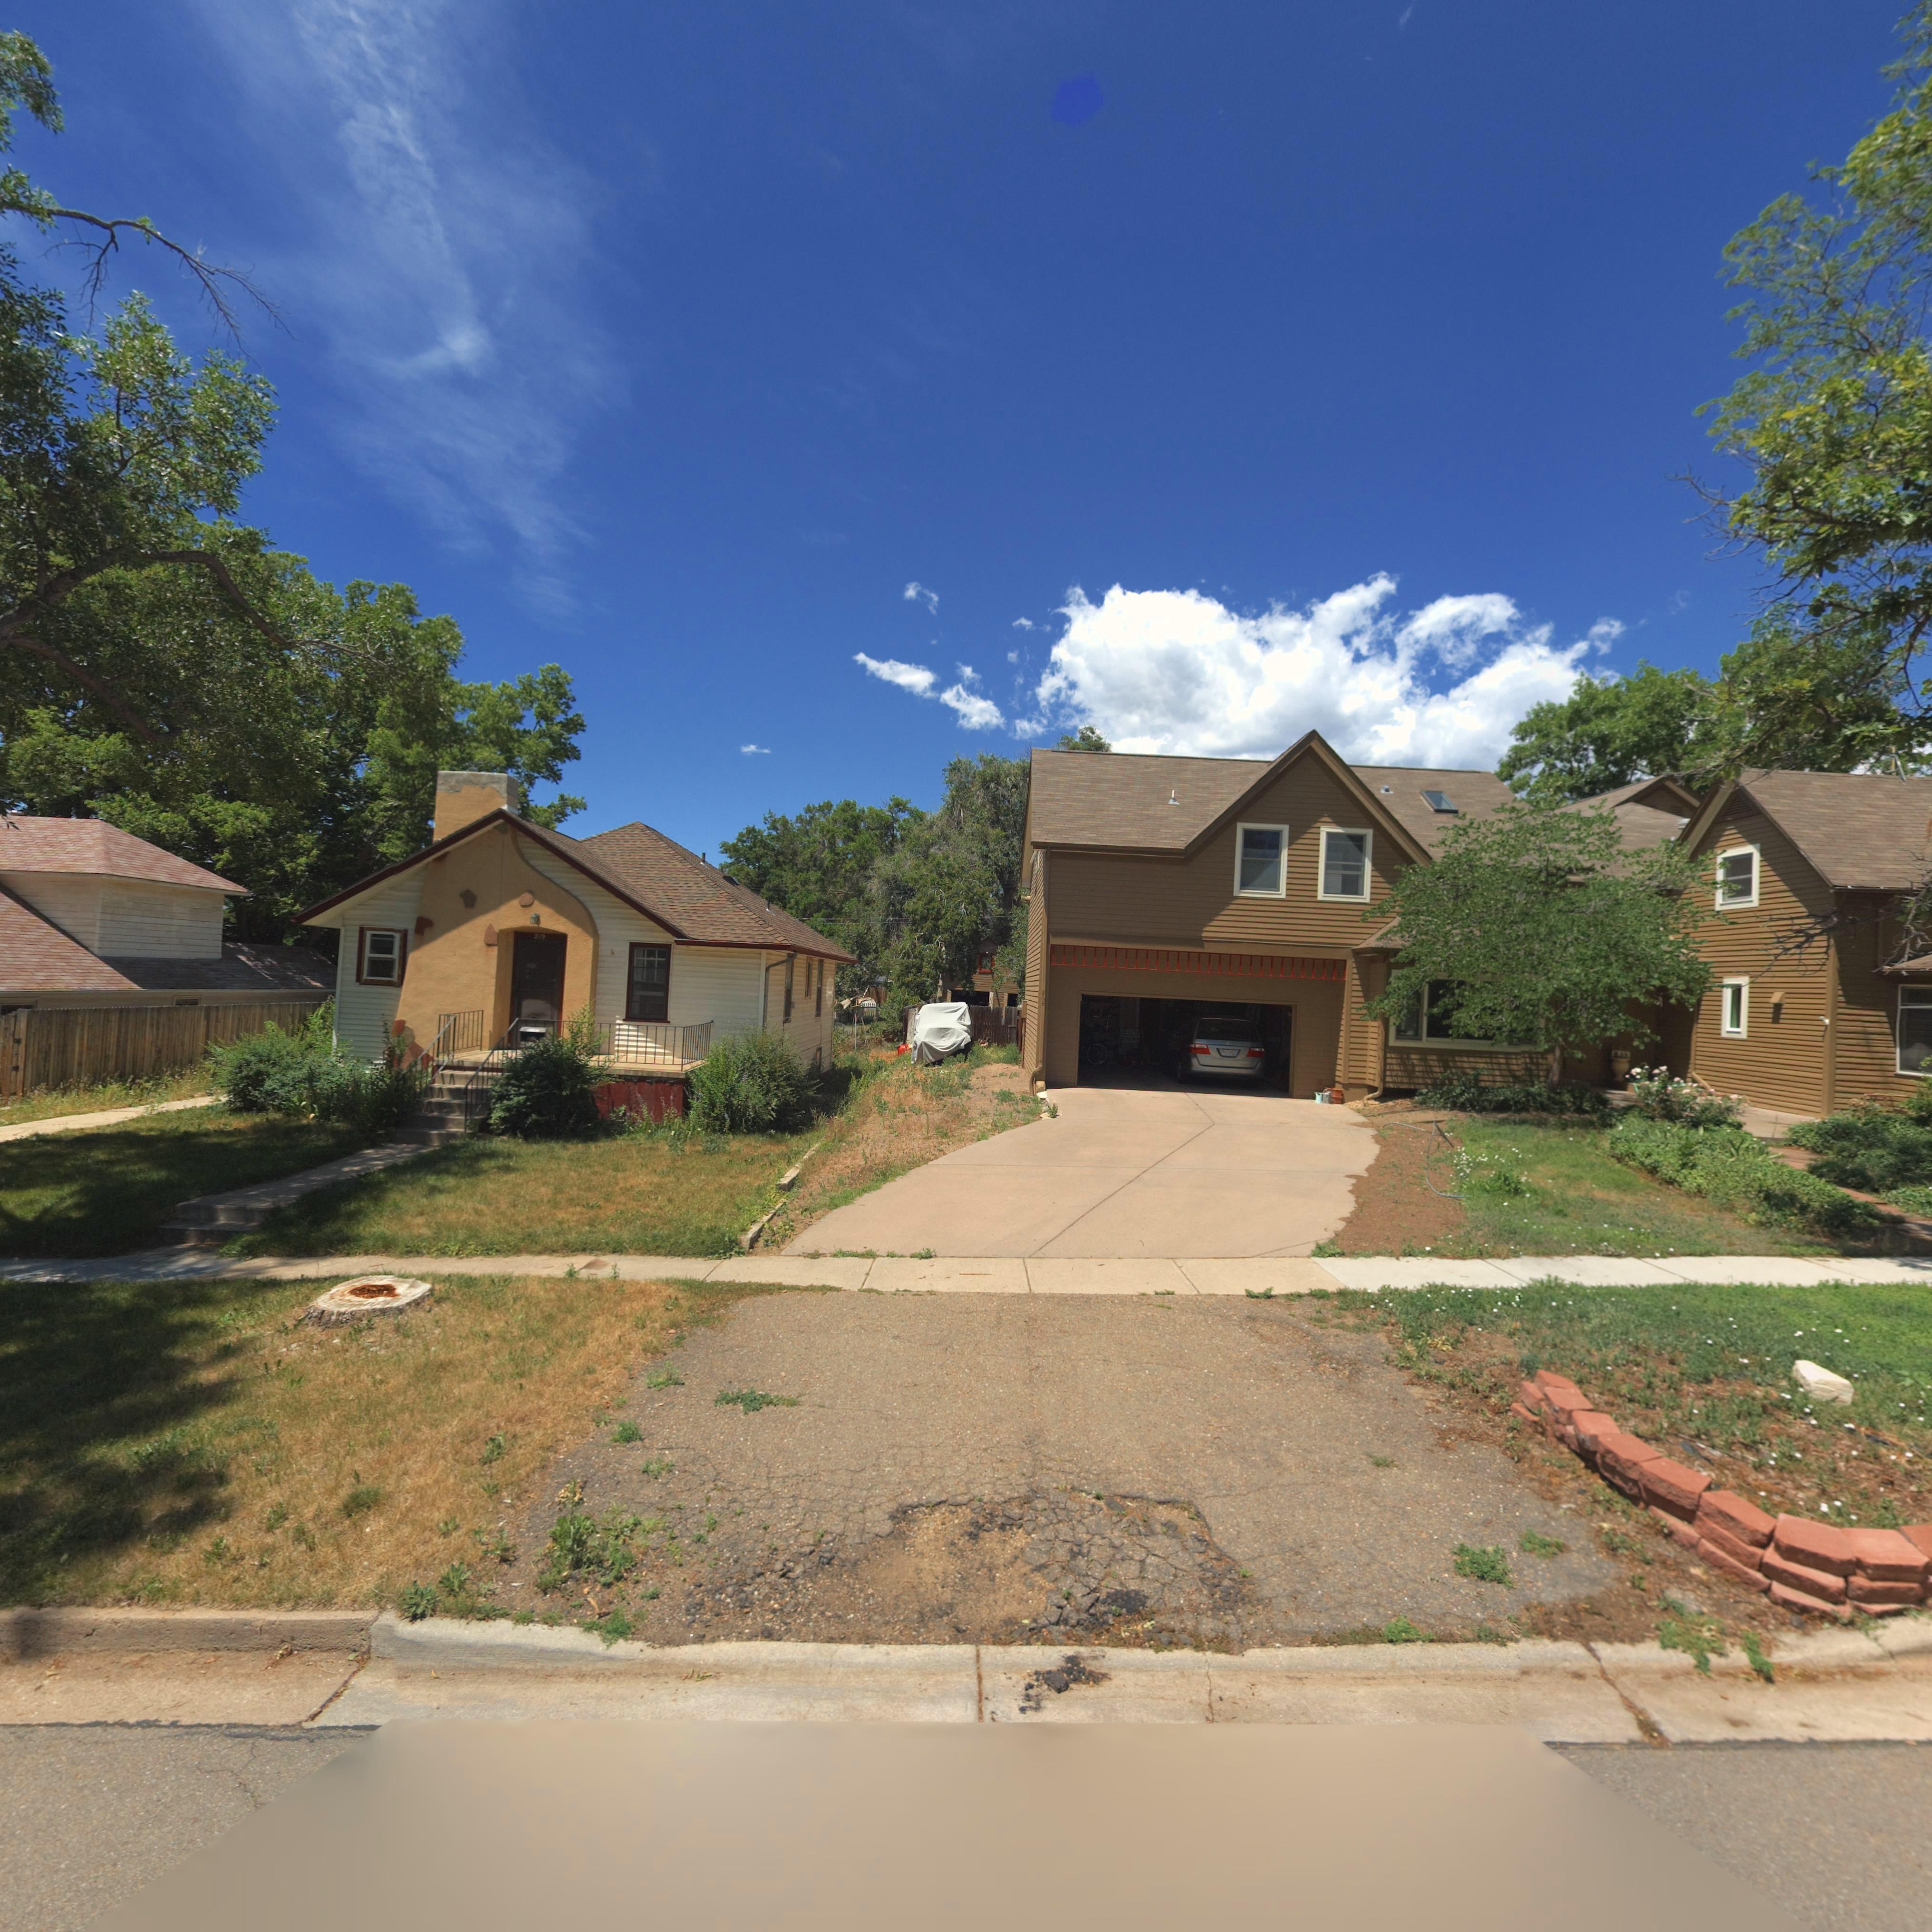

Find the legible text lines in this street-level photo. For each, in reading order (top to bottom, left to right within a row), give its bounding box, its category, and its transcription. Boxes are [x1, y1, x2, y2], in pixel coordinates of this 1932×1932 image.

[534, 933, 546, 940] StreetNumber: 2*9